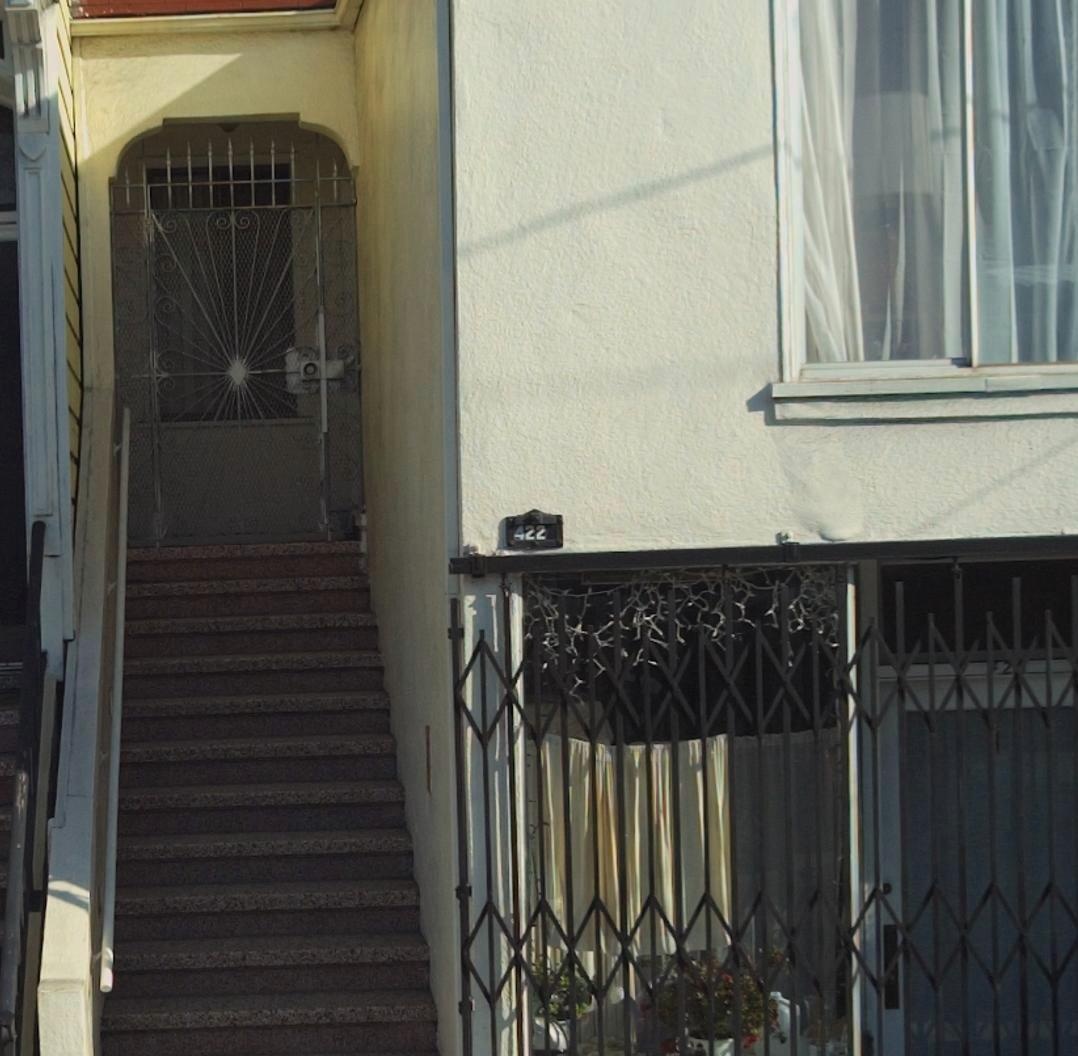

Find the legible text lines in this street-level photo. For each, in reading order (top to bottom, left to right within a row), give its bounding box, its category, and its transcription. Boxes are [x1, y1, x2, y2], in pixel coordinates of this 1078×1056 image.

[514, 522, 548, 543] StreetNumber: 422